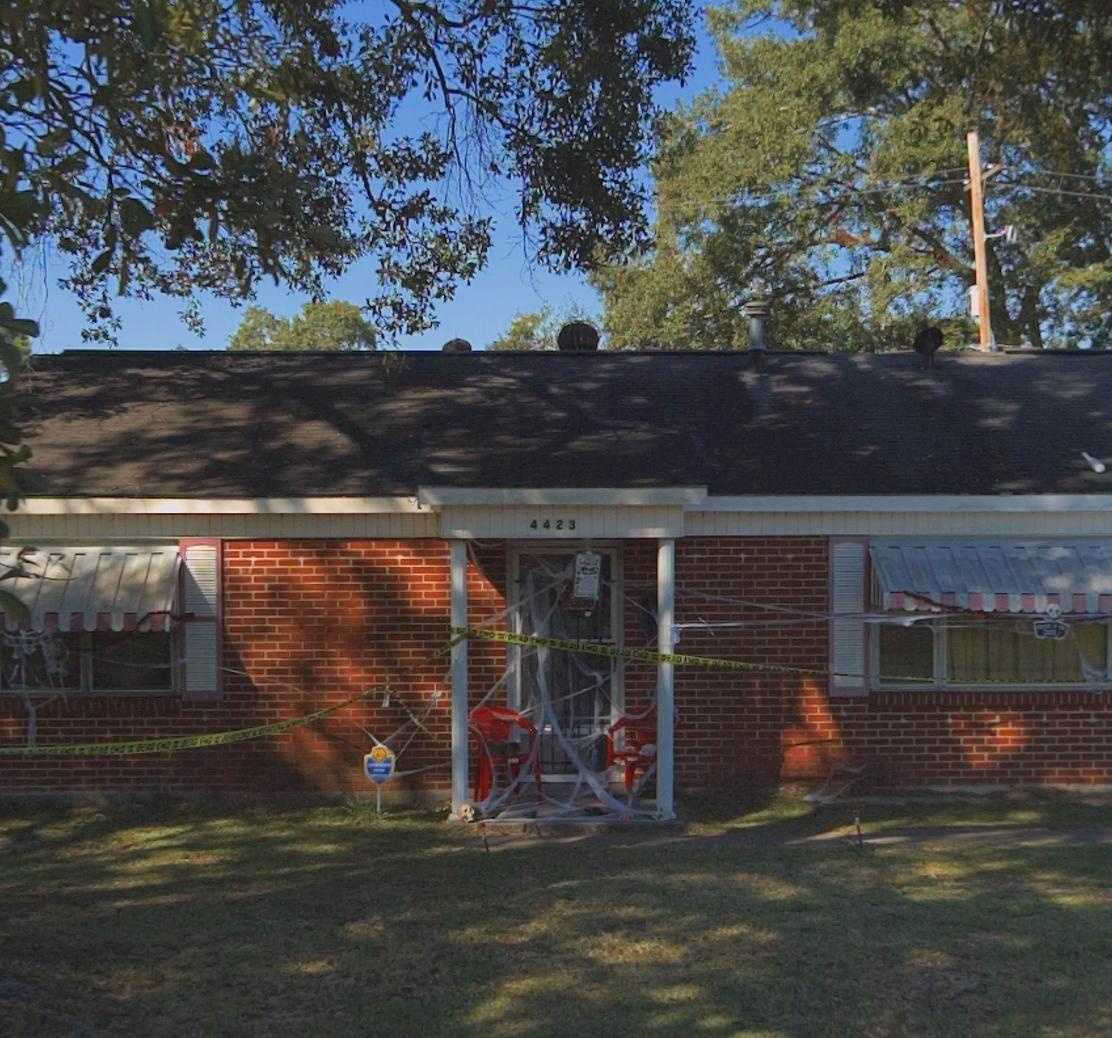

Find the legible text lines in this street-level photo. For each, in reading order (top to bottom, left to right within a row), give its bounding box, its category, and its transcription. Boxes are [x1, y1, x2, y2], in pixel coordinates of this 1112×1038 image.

[528, 518, 577, 532] StreetNumber: 4423